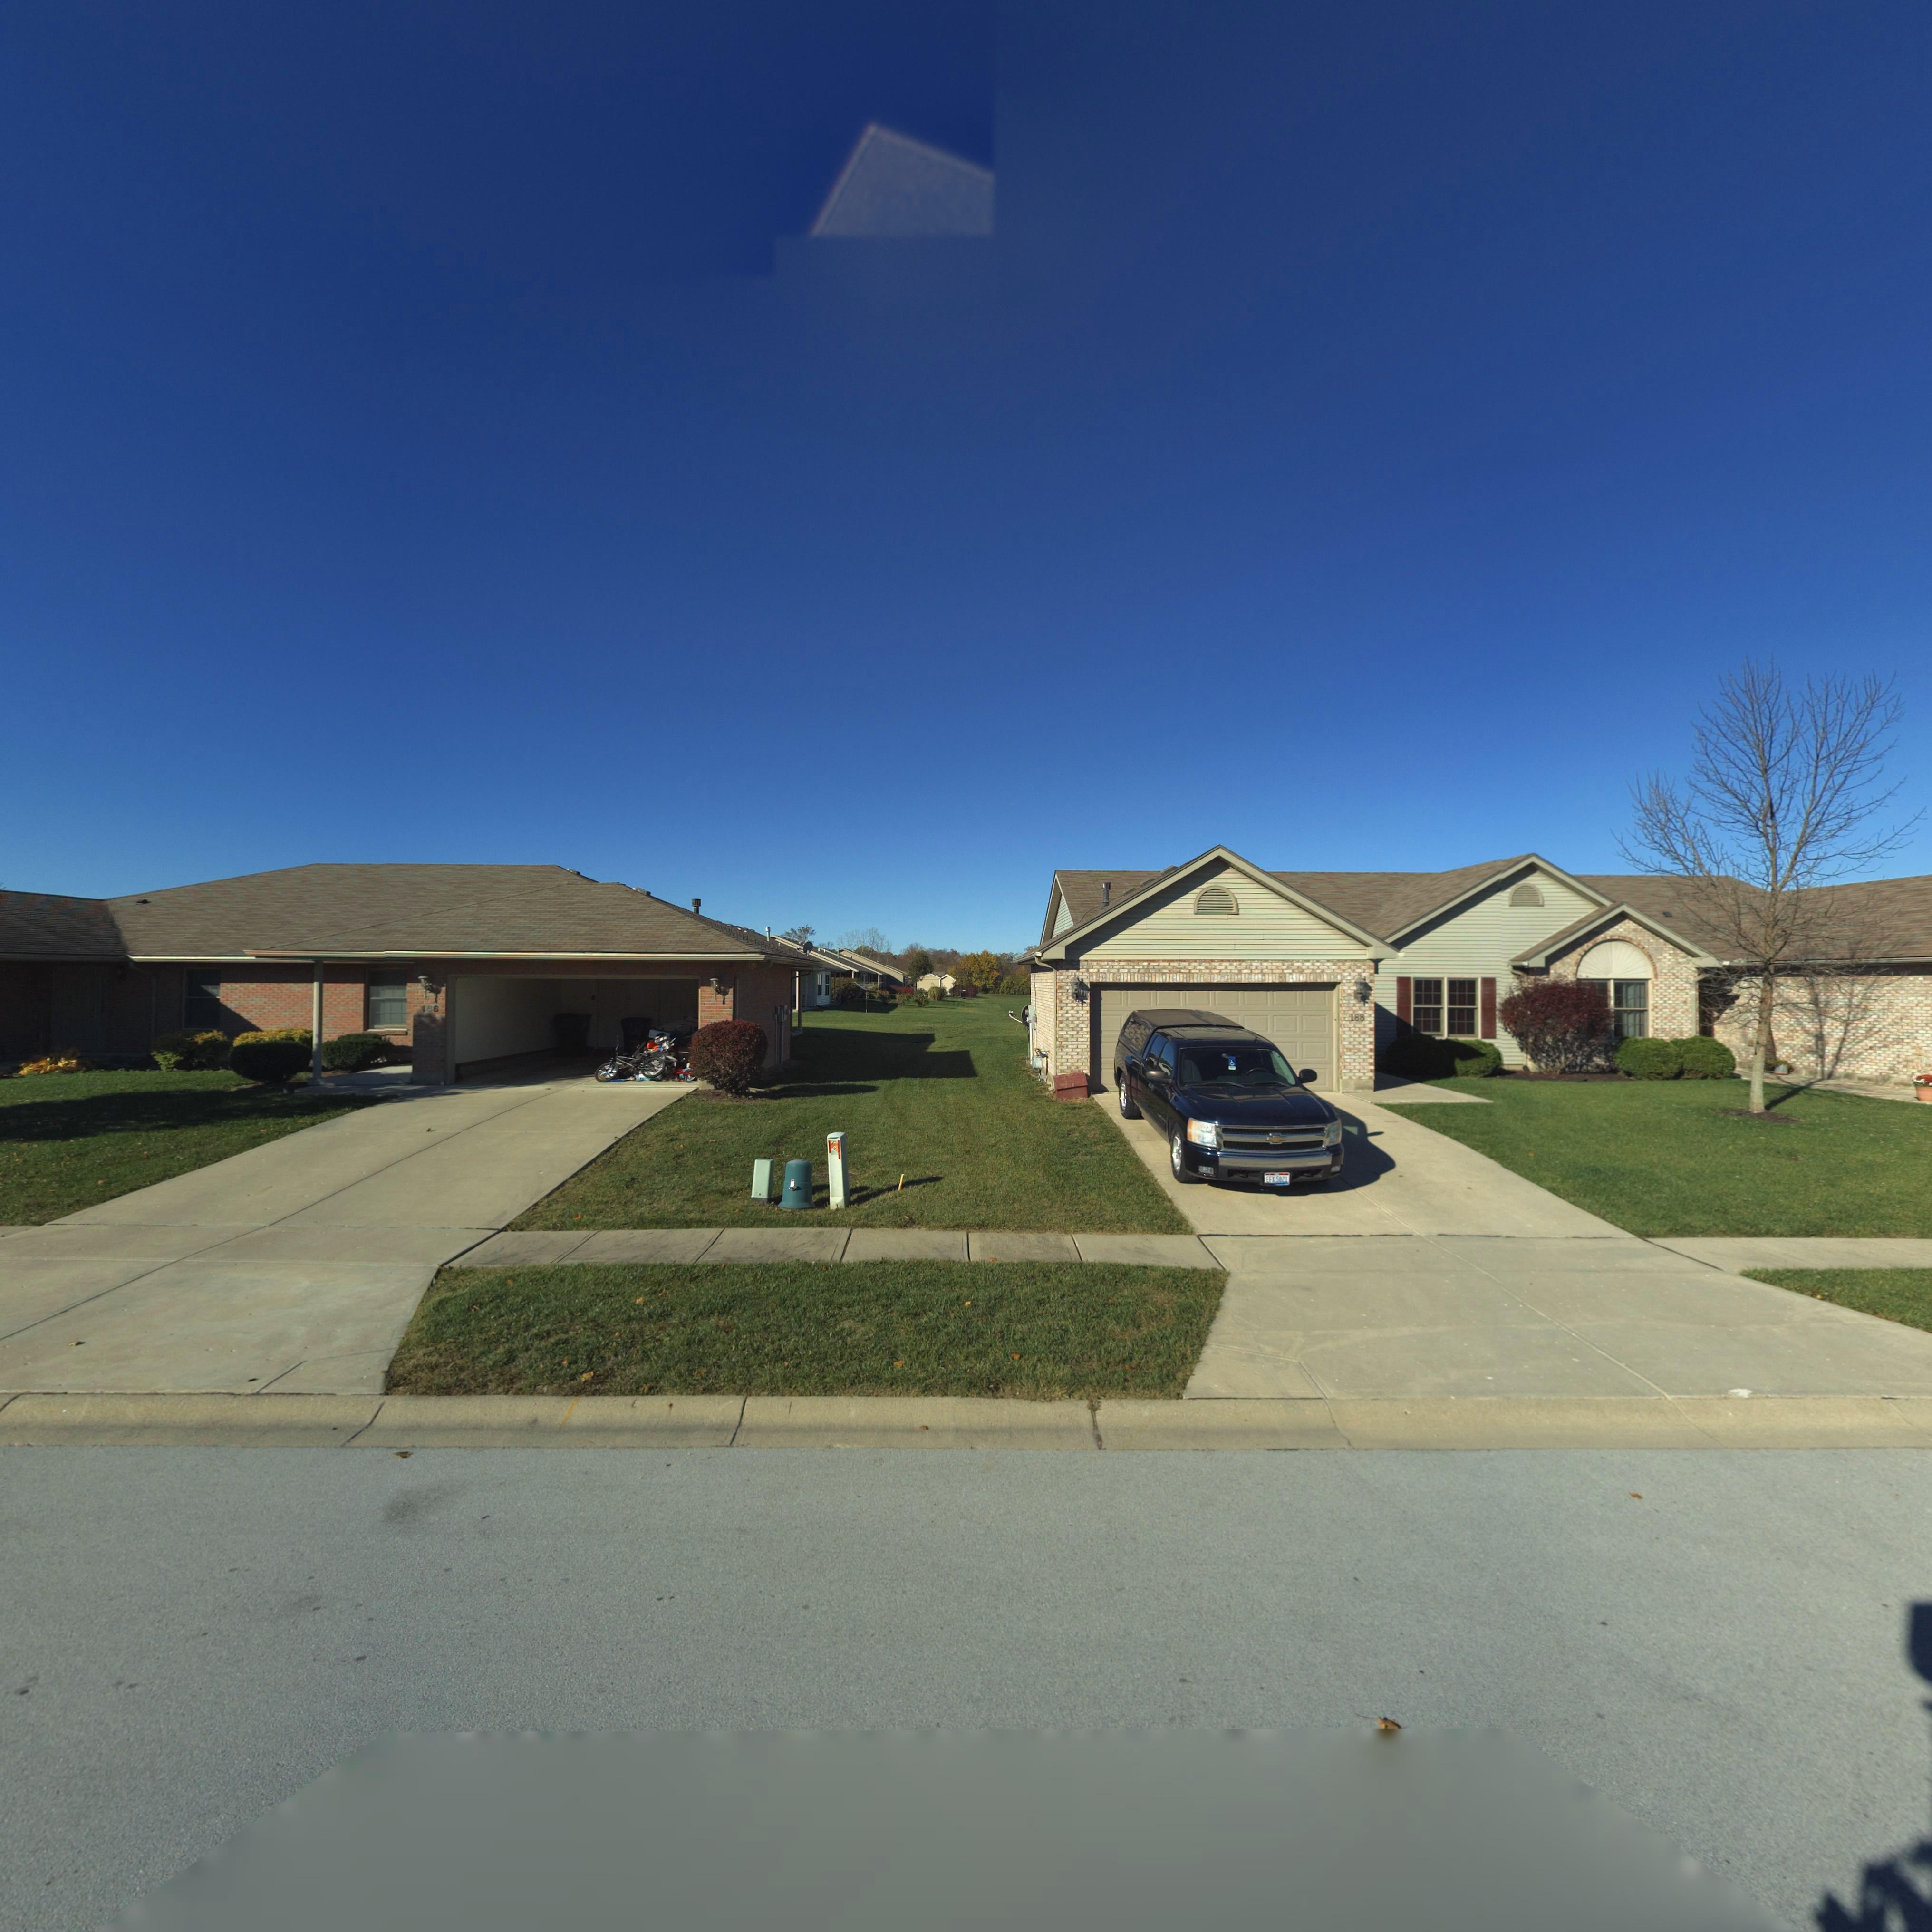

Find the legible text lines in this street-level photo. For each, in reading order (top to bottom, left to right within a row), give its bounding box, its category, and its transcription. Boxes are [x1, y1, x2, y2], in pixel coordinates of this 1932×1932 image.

[421, 1004, 440, 1013] StreetNumber: 186
[1350, 1013, 1365, 1022] StreetNumber: 188